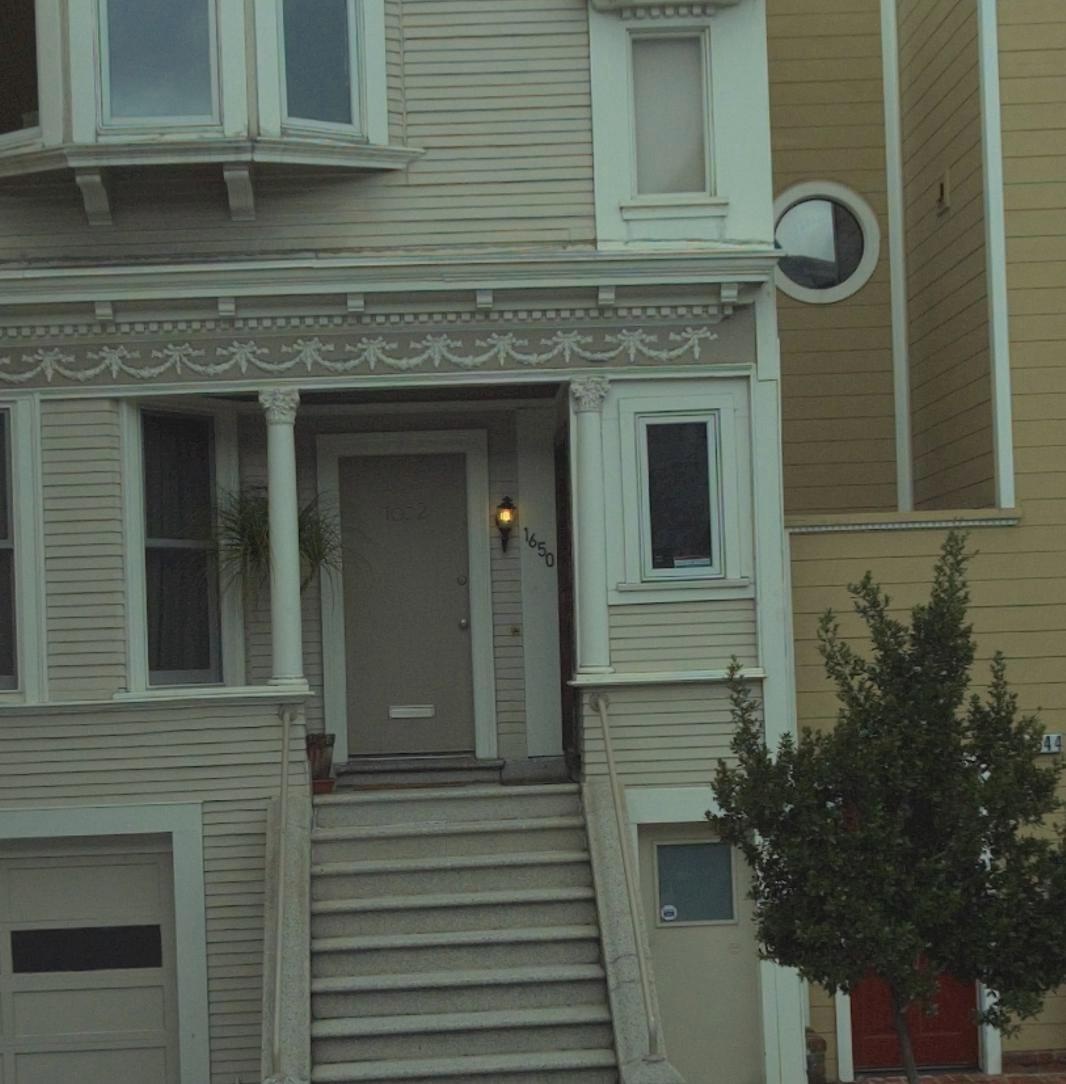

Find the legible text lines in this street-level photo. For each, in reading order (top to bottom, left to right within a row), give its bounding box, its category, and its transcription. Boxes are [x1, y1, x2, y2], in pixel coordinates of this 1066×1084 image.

[381, 500, 428, 521] StreetNumber: 1652
[522, 526, 556, 569] StreetNumber: 1650